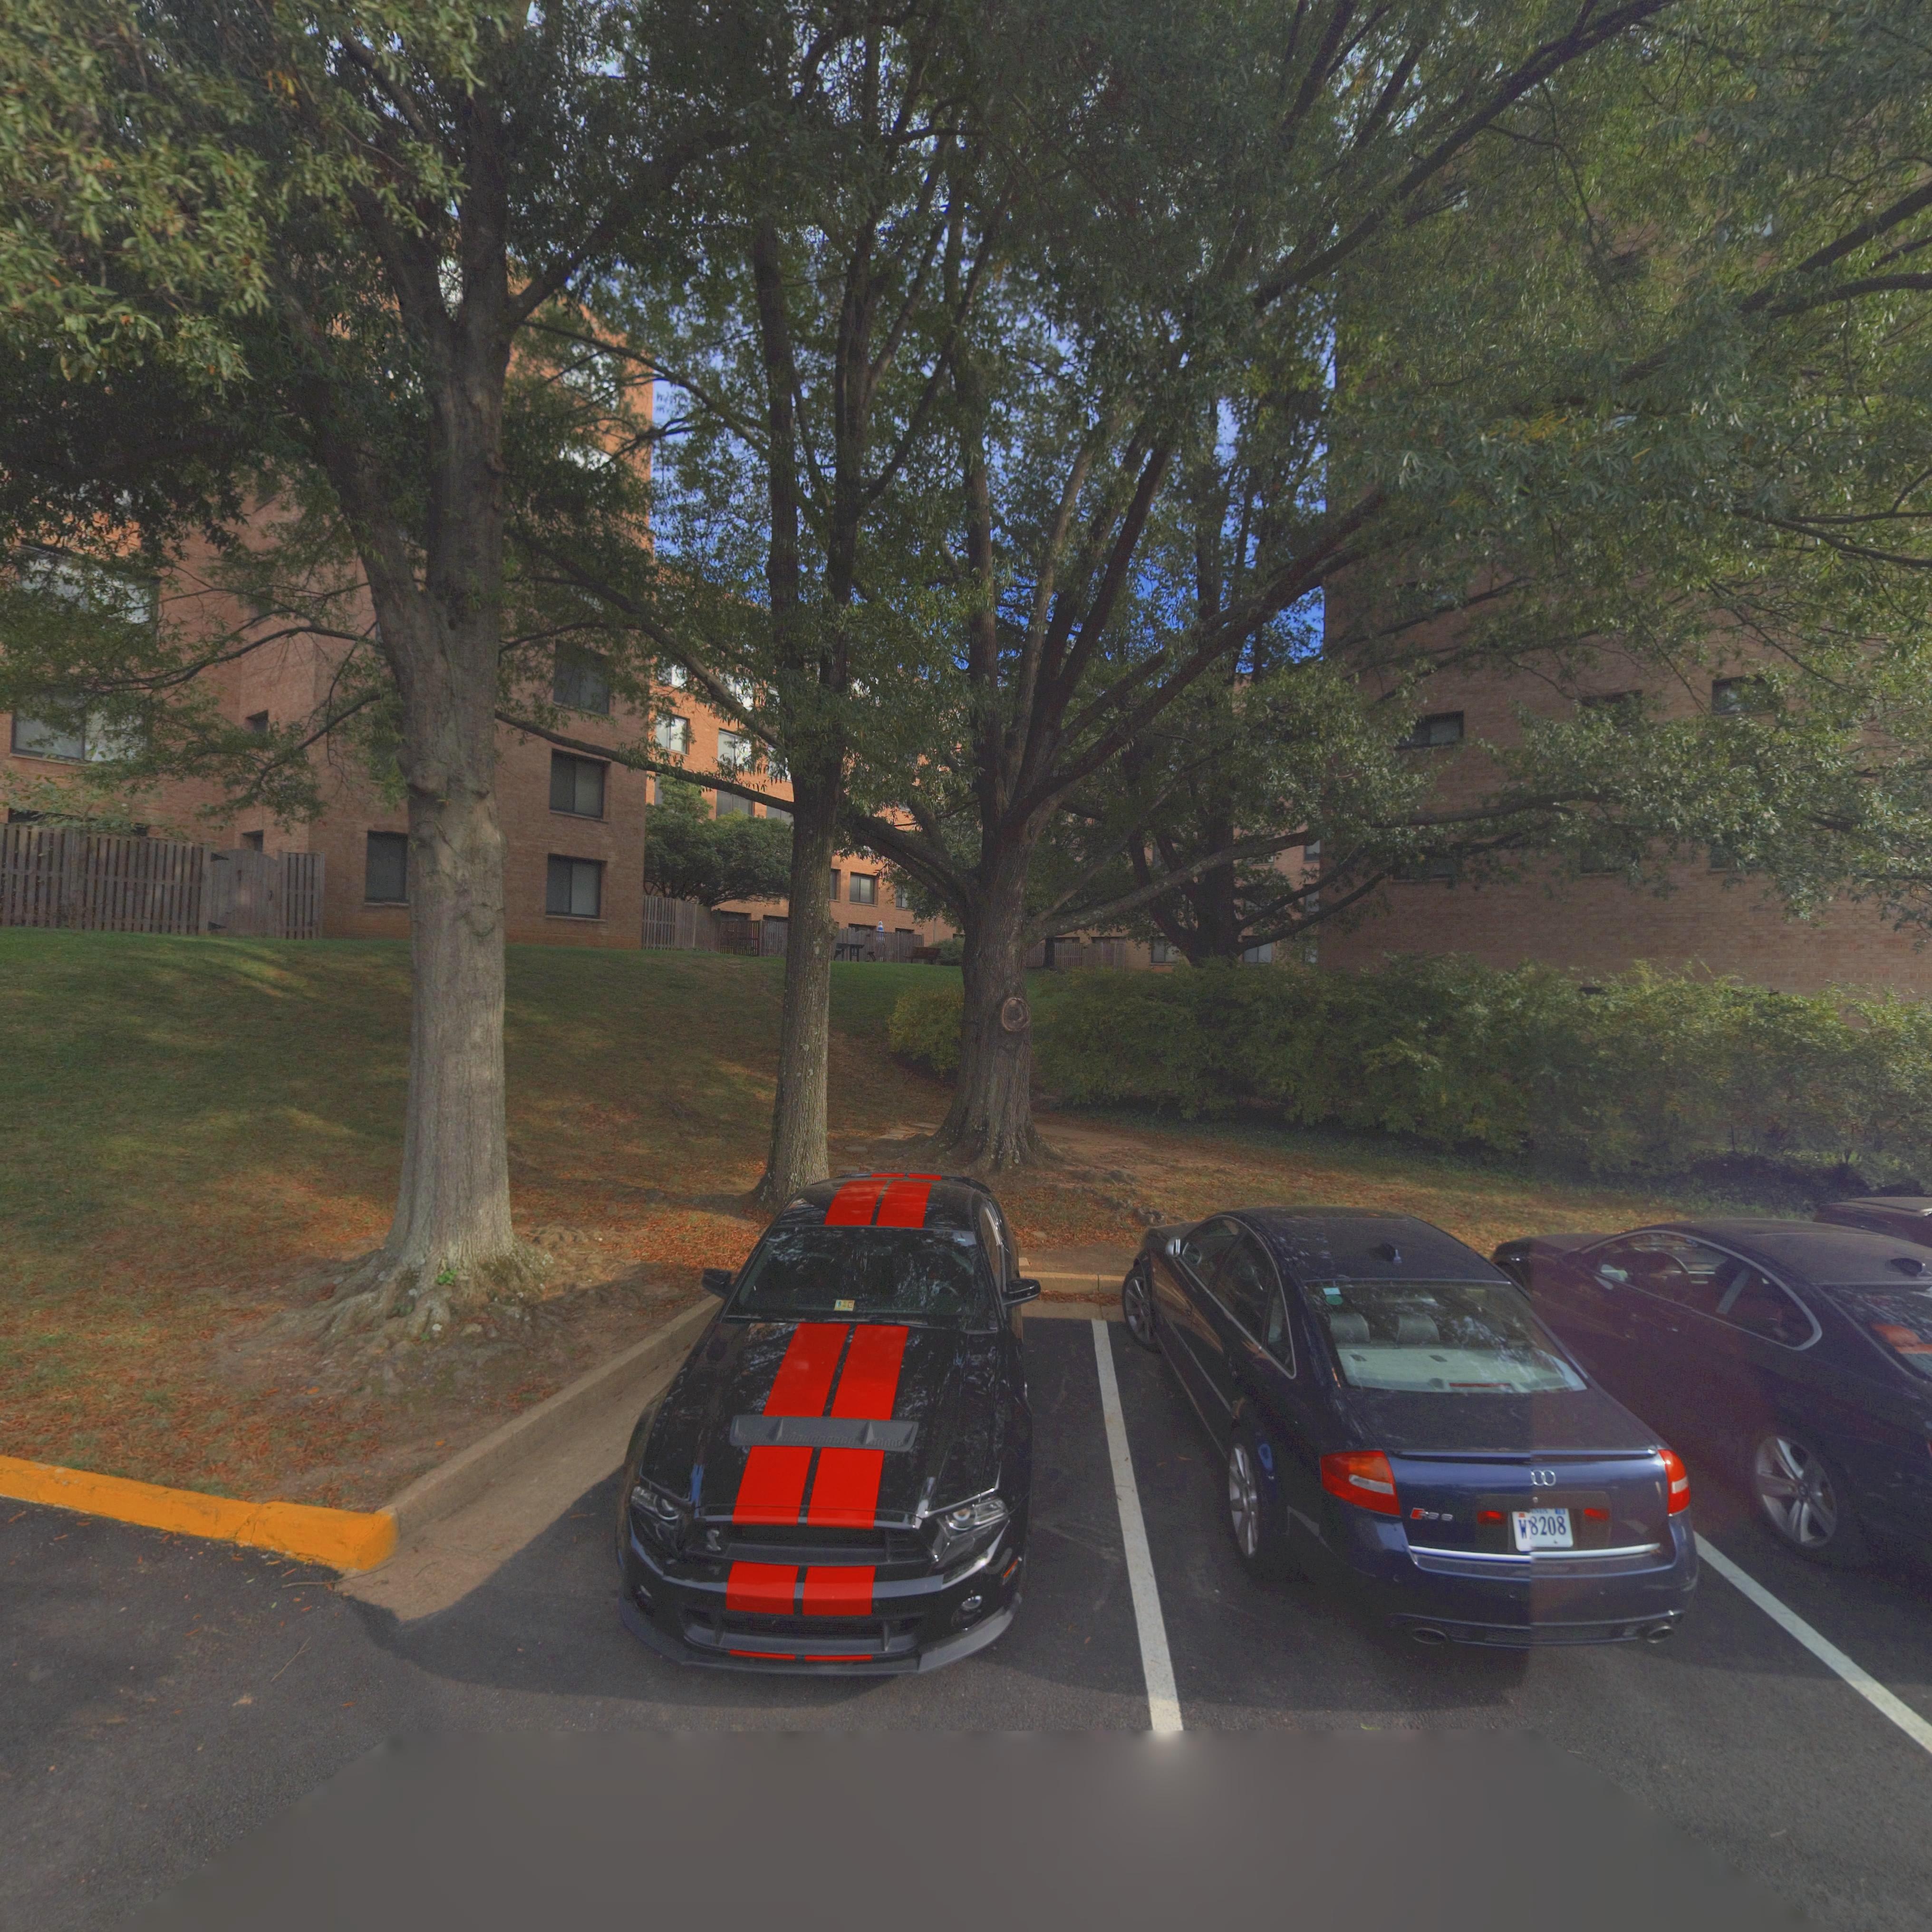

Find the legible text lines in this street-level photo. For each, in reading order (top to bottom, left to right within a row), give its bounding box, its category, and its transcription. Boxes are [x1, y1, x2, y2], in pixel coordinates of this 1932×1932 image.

[1417, 1510, 1456, 1523] None: R88
[1534, 1507, 1550, 1515] None: NIA
[1517, 1515, 1567, 1540] None: W8208